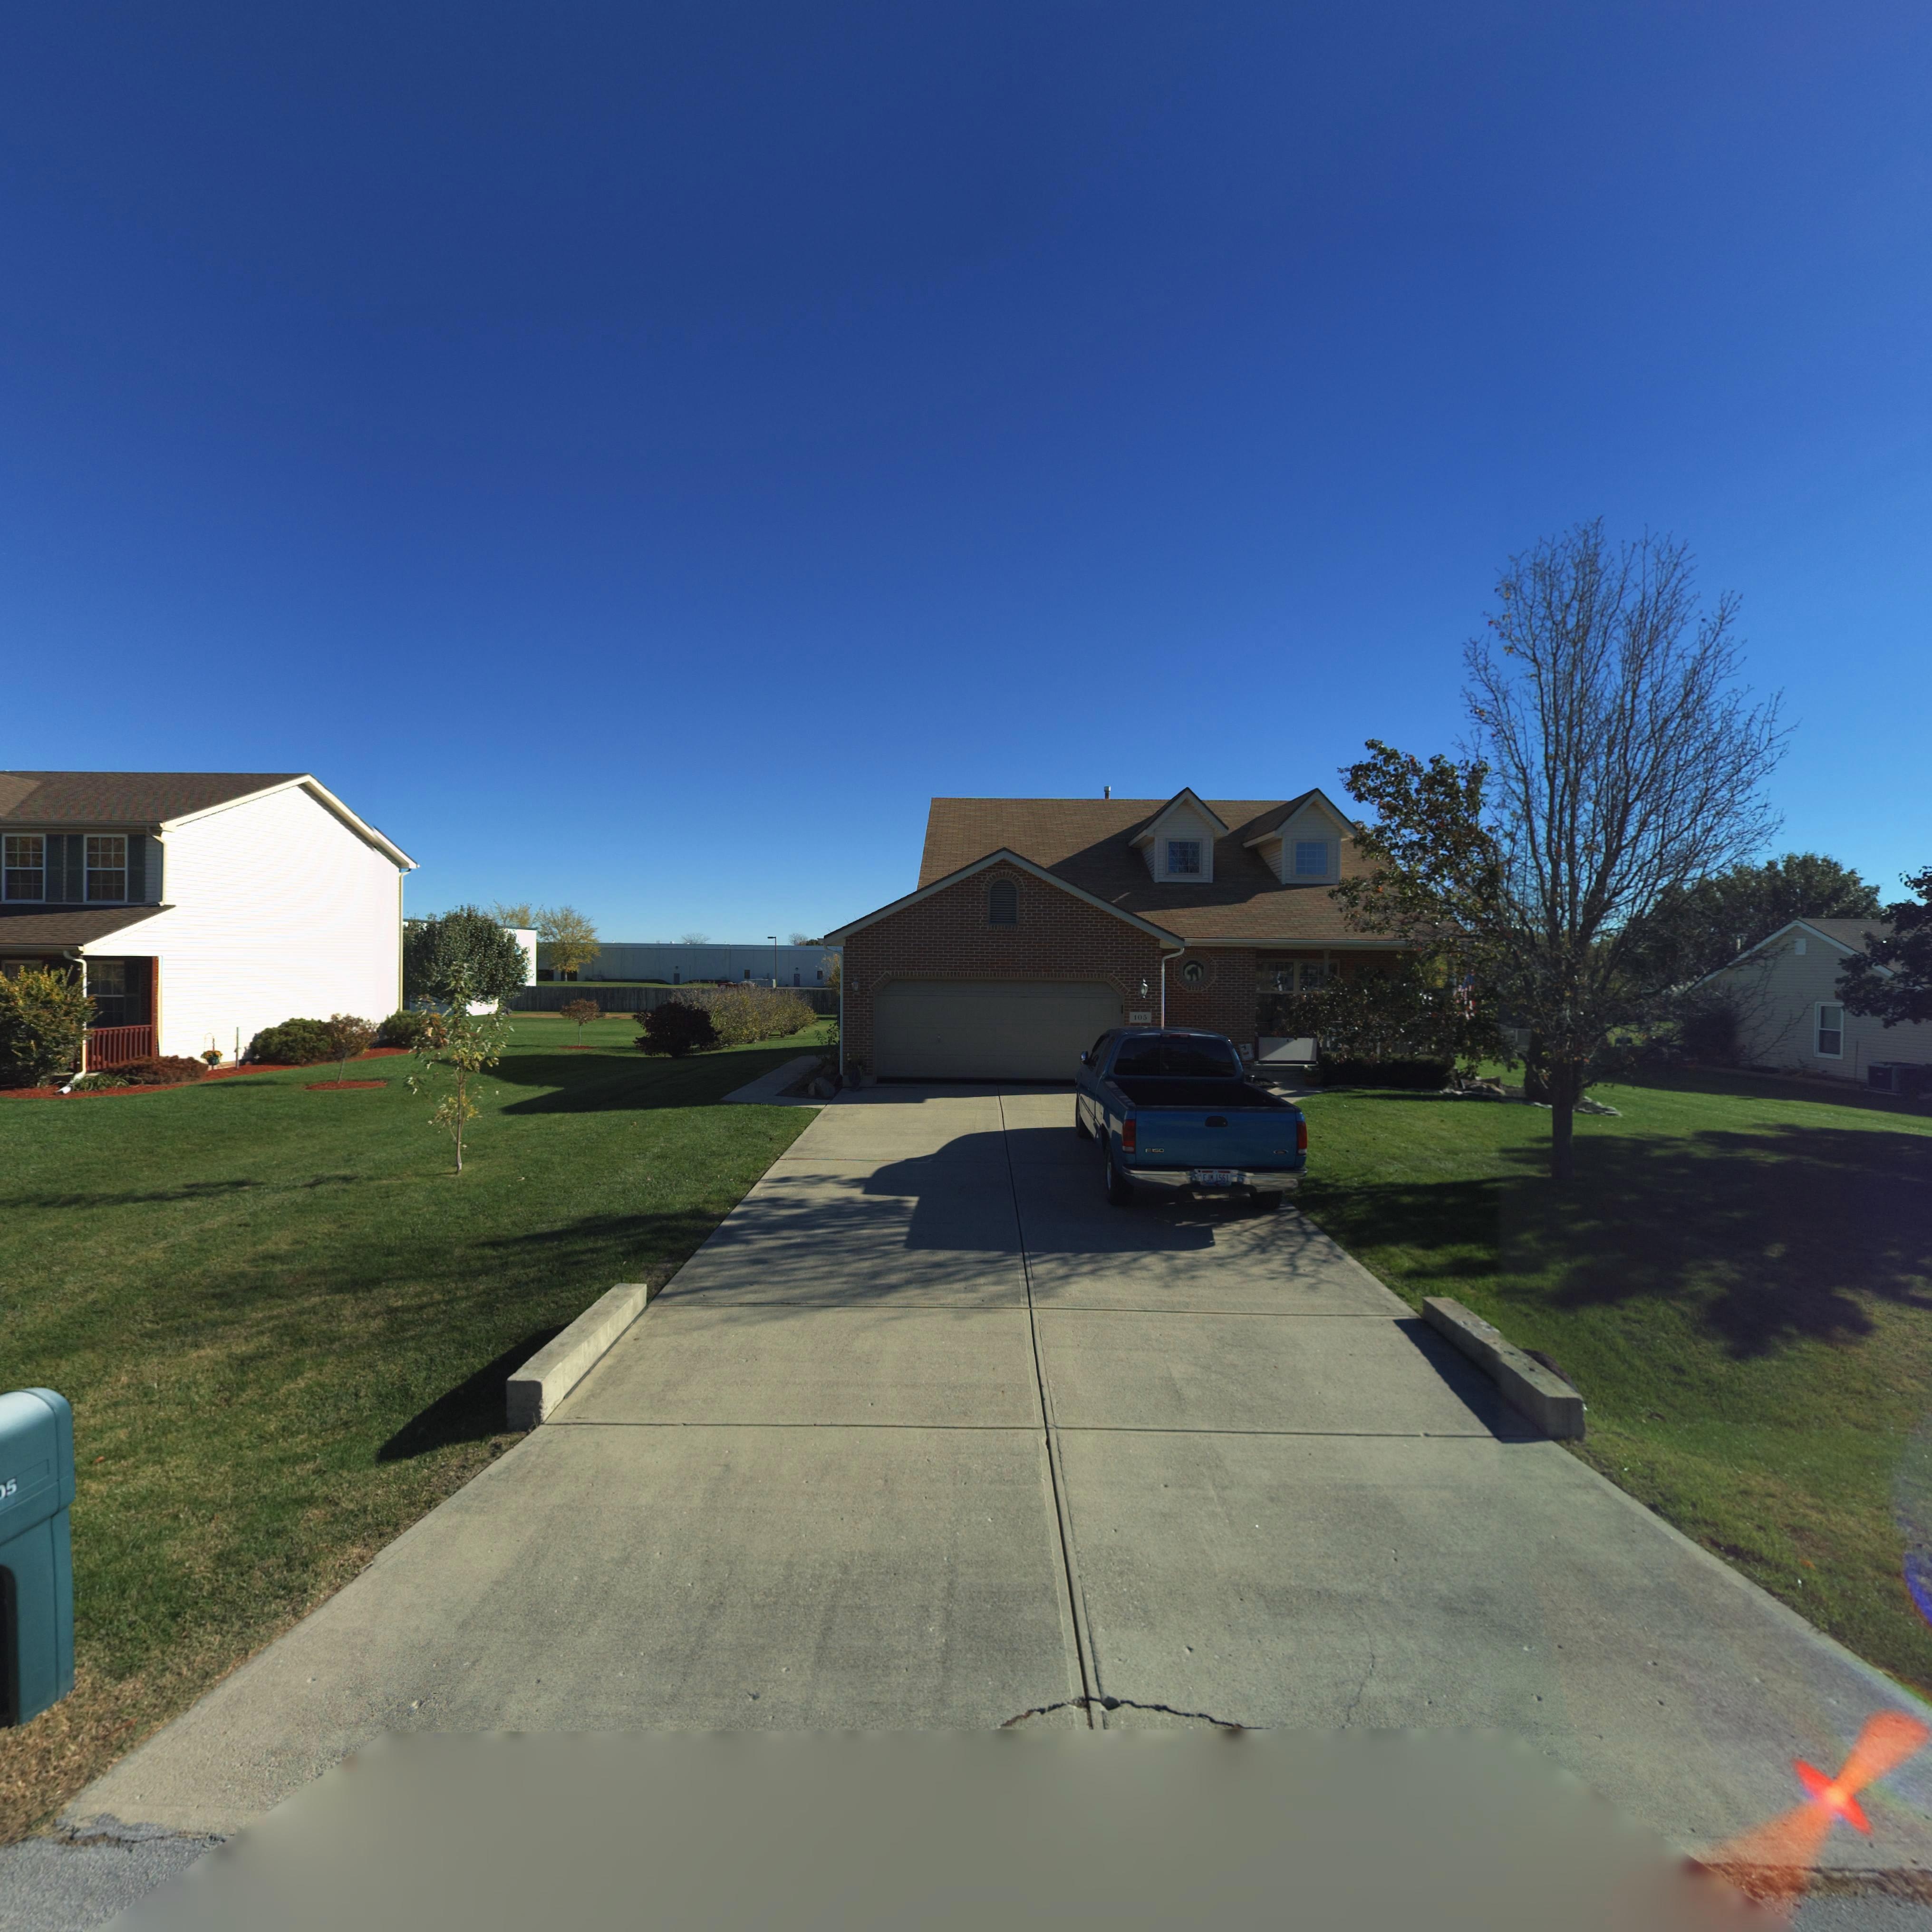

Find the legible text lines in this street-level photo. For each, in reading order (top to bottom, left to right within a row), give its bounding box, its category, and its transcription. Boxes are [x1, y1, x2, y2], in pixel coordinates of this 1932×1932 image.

[1133, 1014, 1148, 1021] StreetNumber: 105
[6, 1476, 18, 1497] StreetNumber: 5